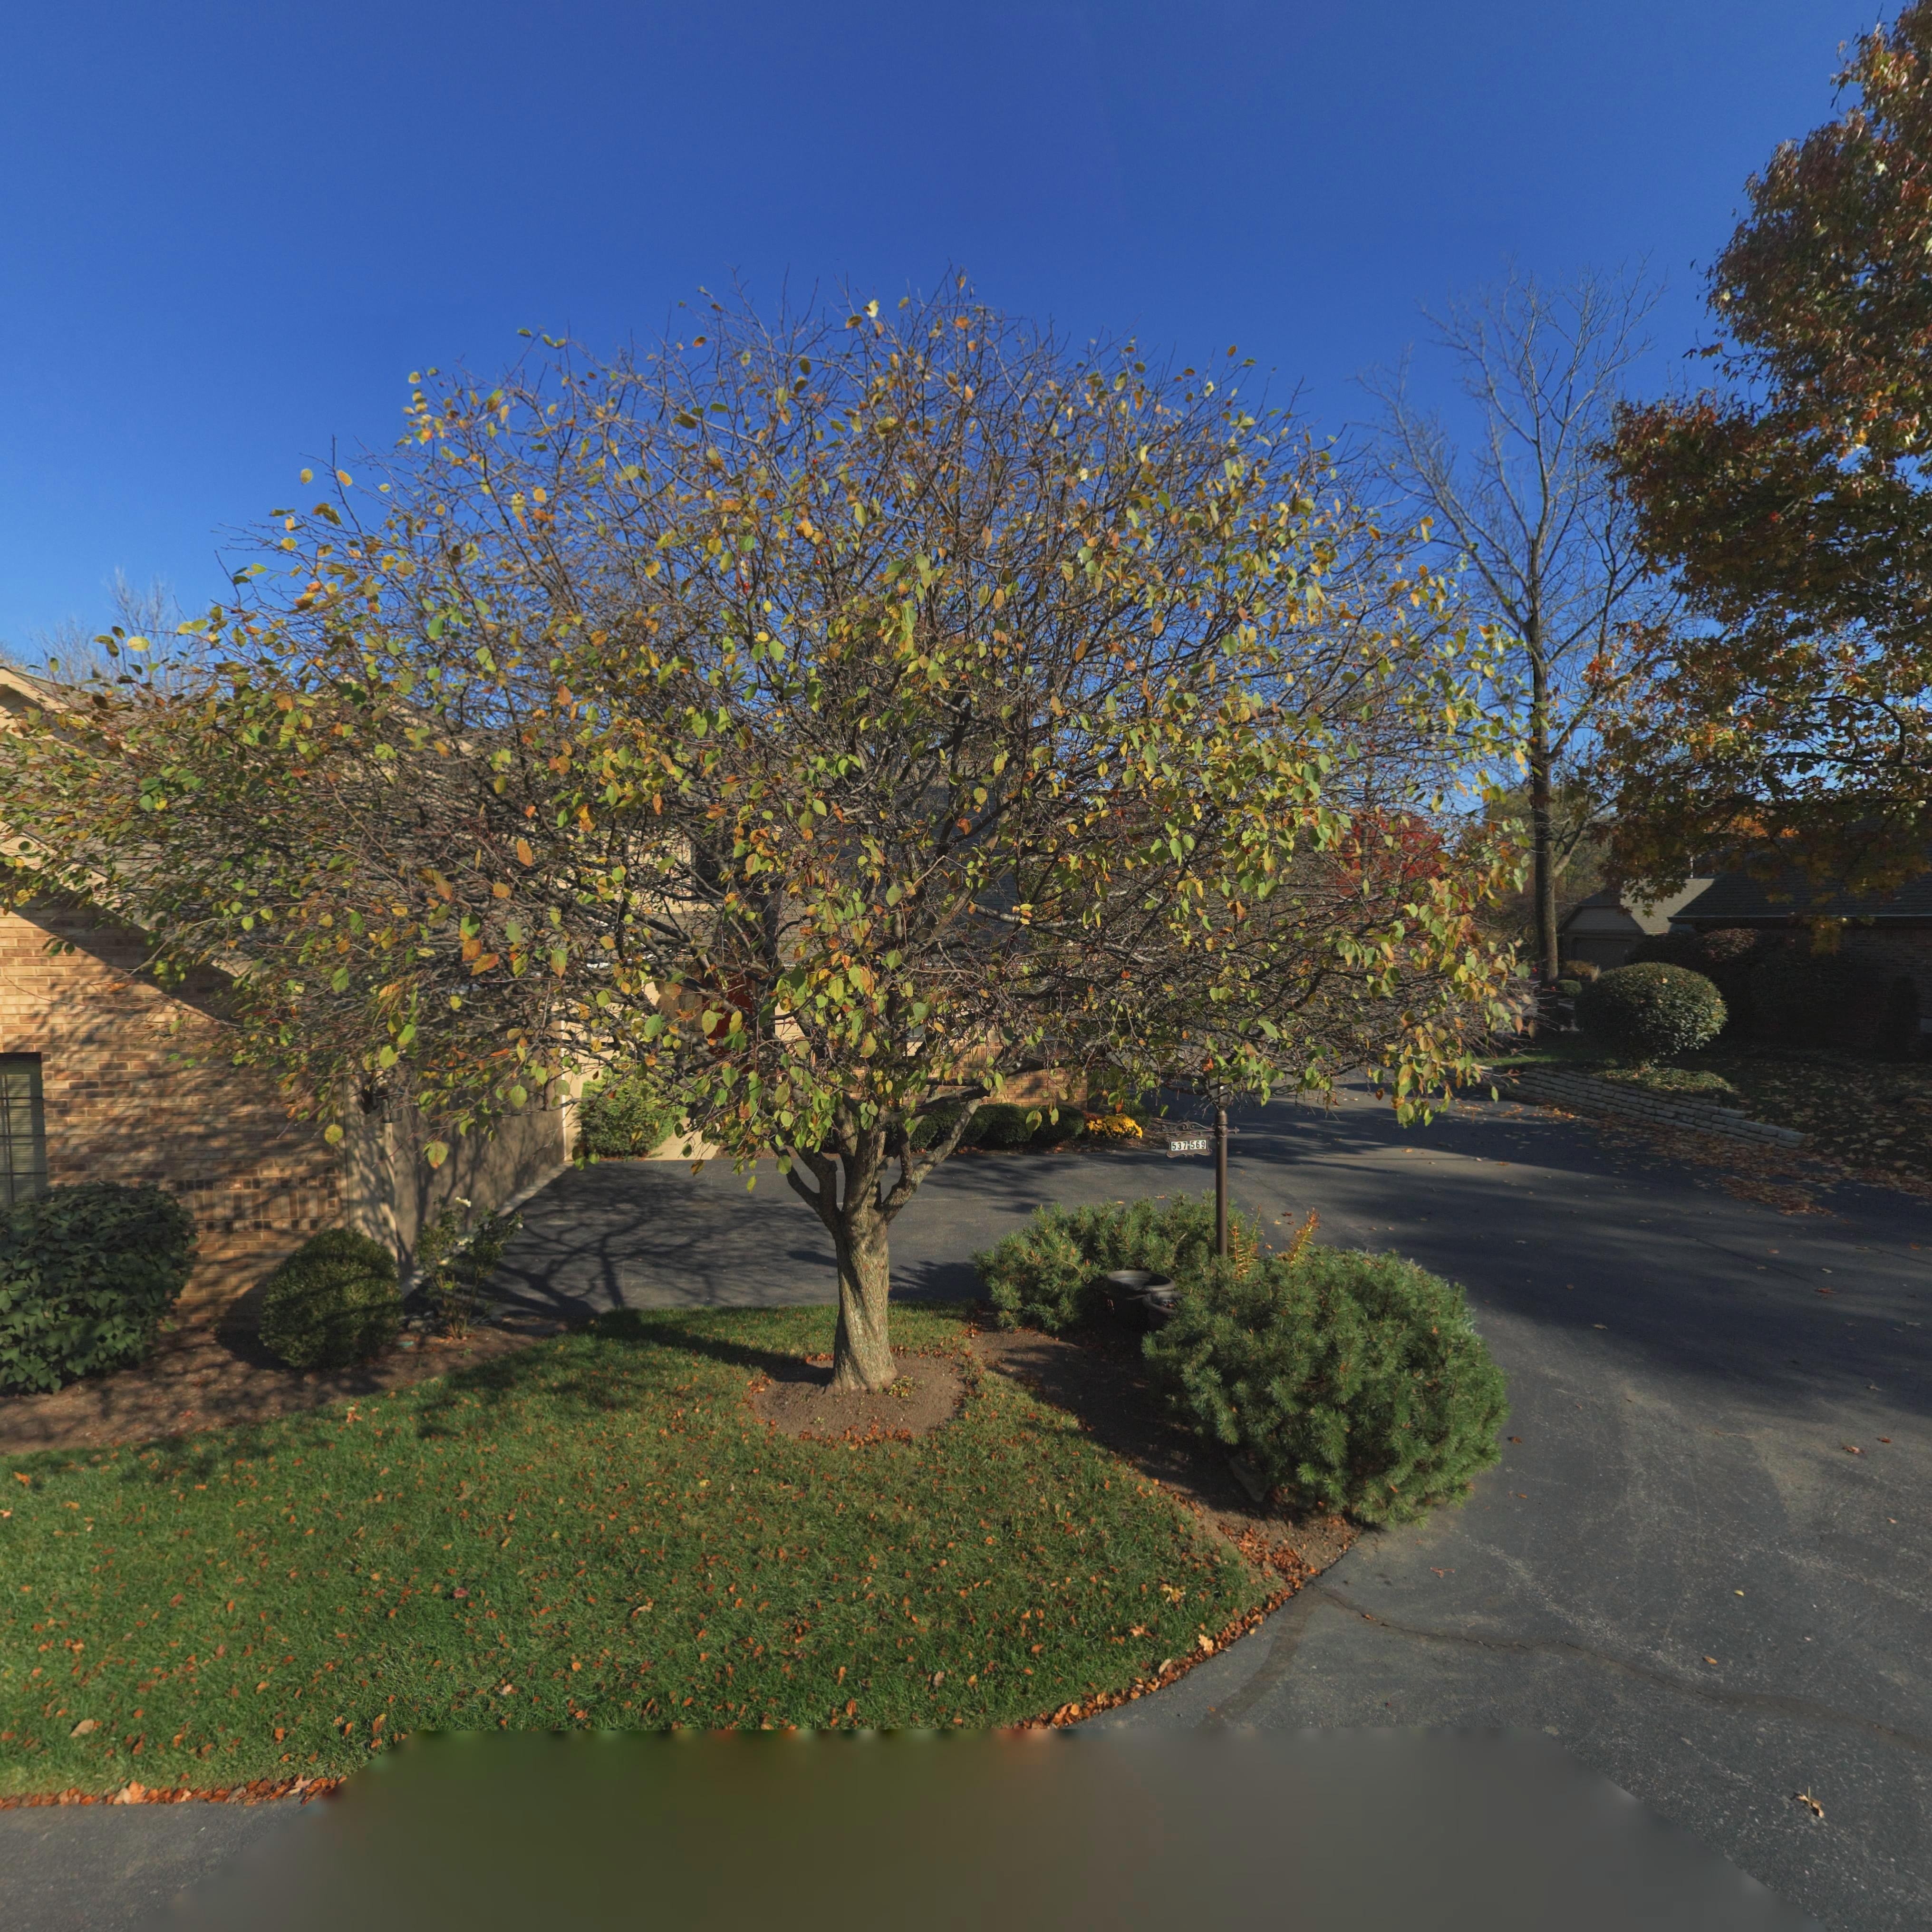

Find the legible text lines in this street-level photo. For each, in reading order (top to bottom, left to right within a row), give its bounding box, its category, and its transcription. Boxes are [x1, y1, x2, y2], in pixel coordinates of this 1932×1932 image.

[1171, 1141, 1187, 1150] StreetNumber: 537
[1190, 1140, 1206, 1150] StreetNumber: 569